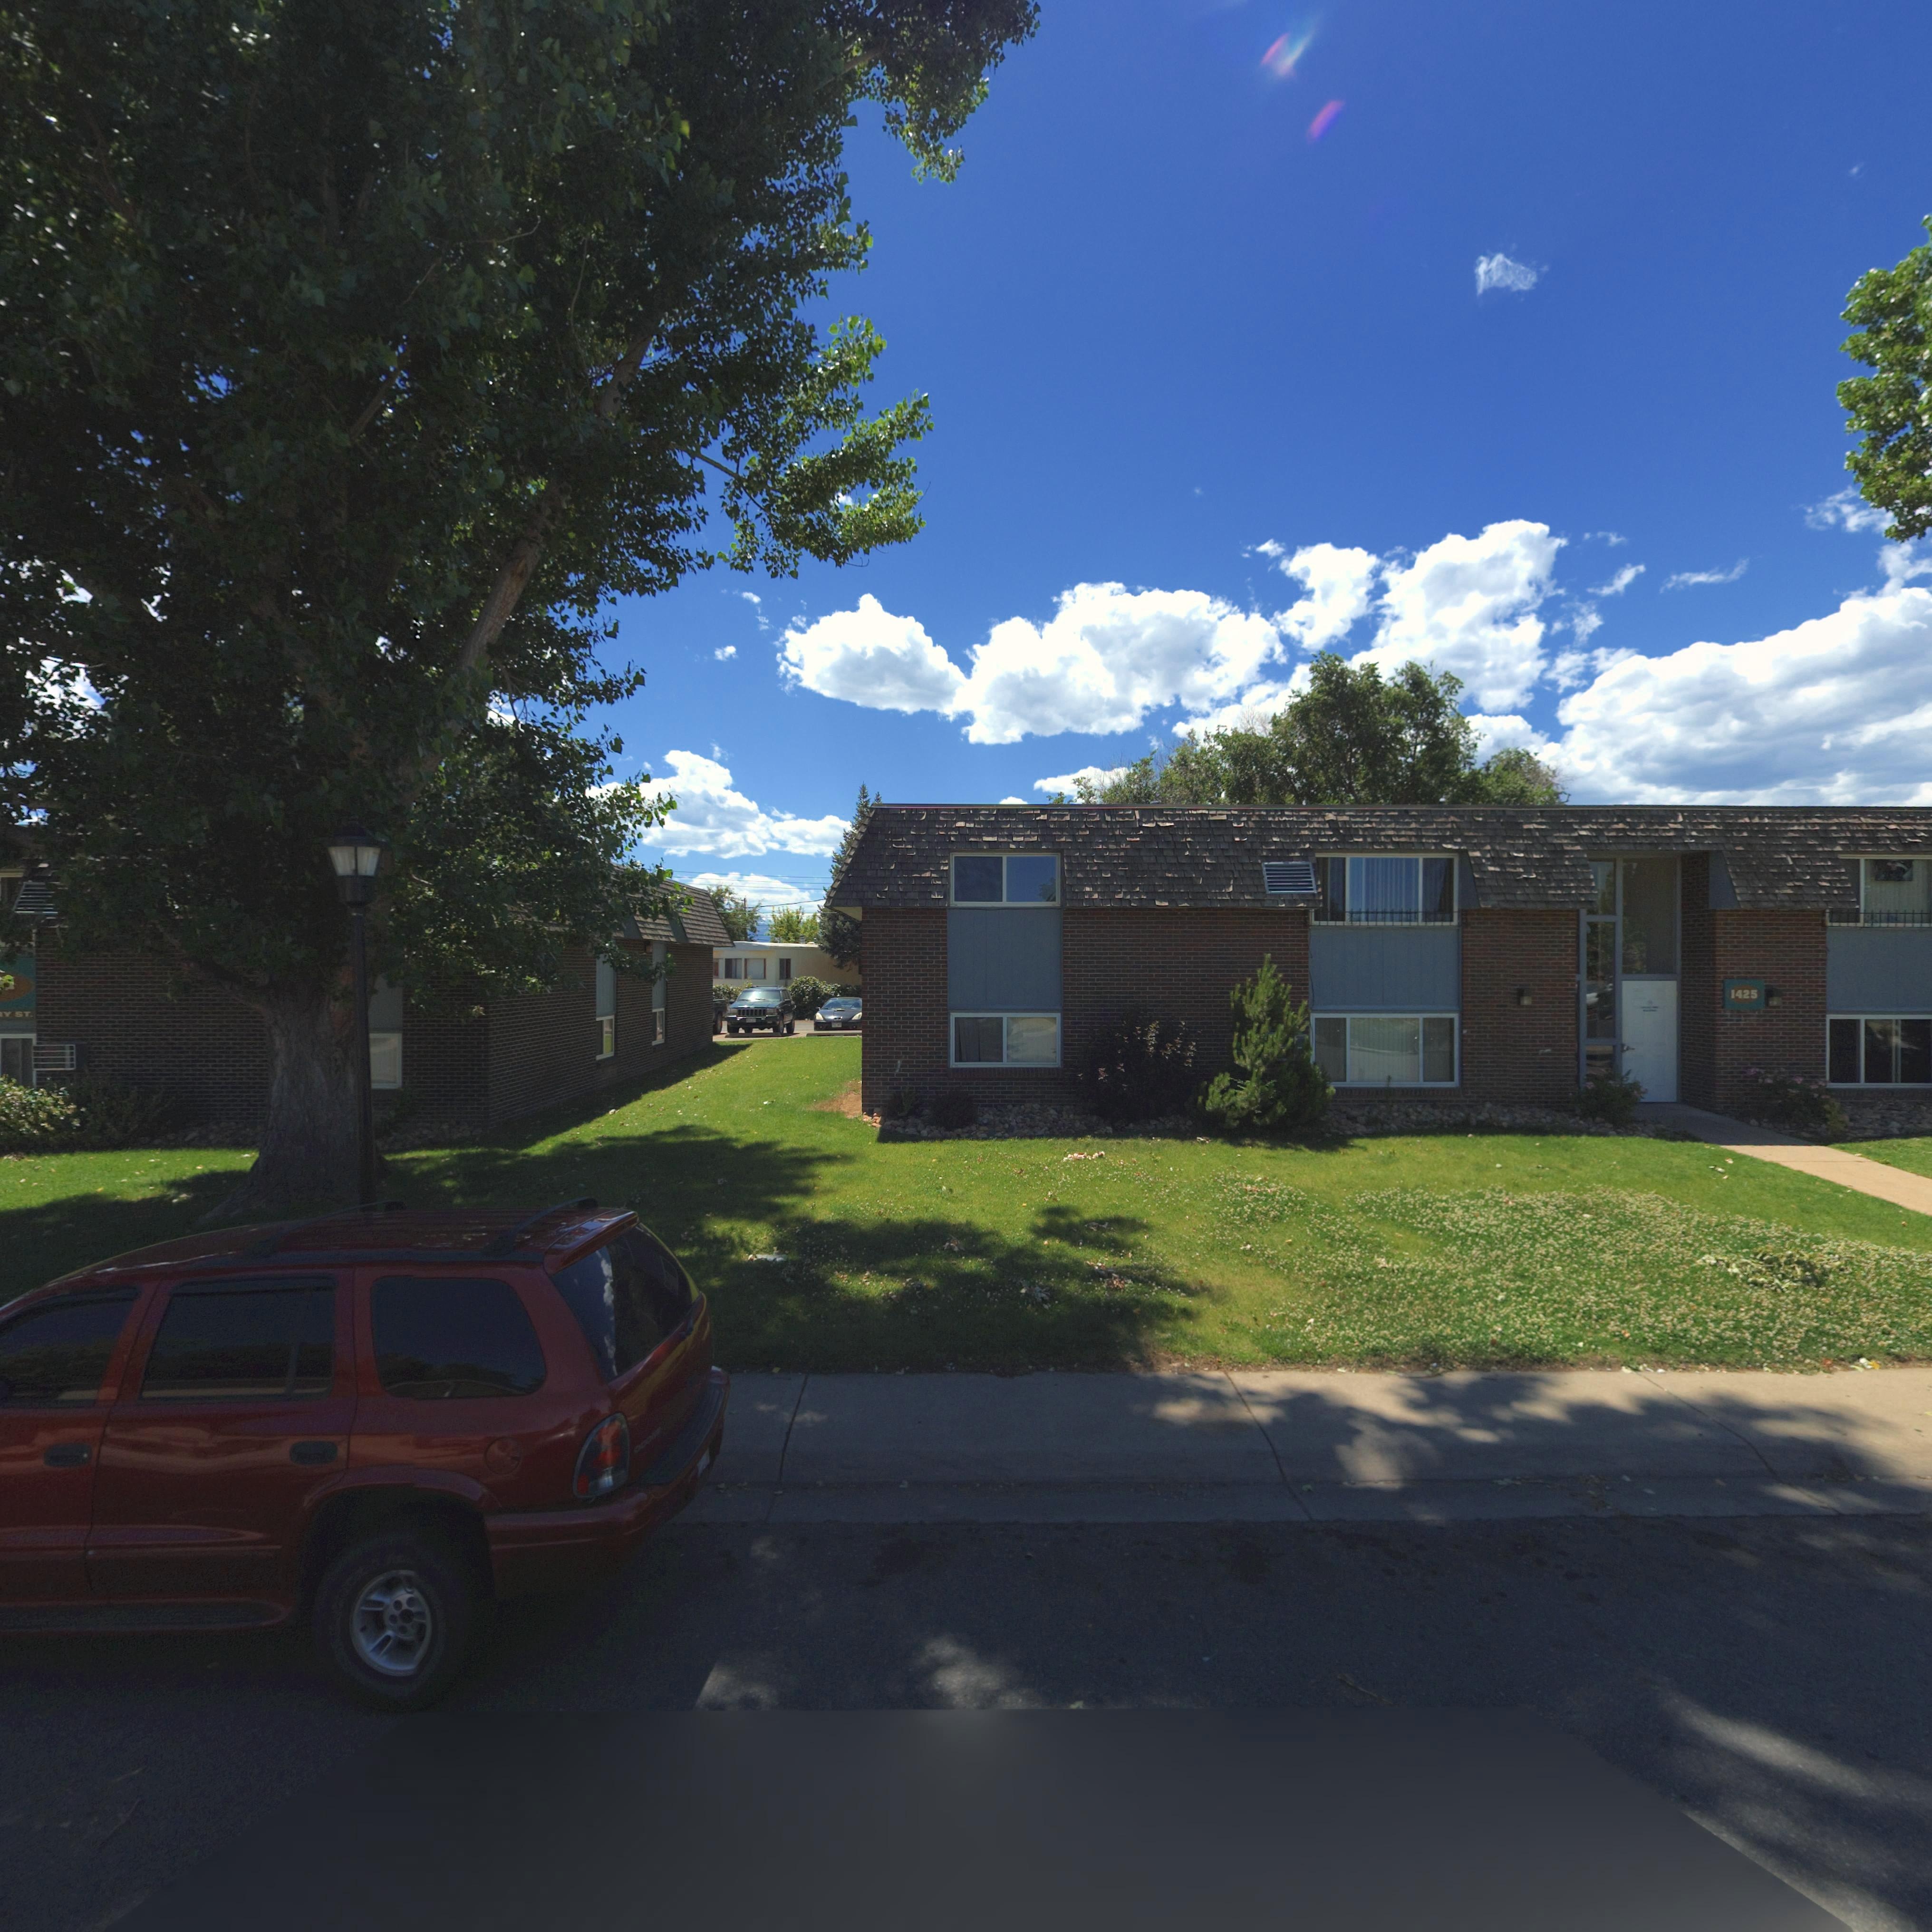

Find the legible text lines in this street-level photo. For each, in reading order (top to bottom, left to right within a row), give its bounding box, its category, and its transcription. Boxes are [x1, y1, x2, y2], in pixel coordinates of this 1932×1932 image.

[1730, 988, 1758, 999] StreetNumber: 1425
[2, 1010, 33, 1017] StreetName: Y ST.